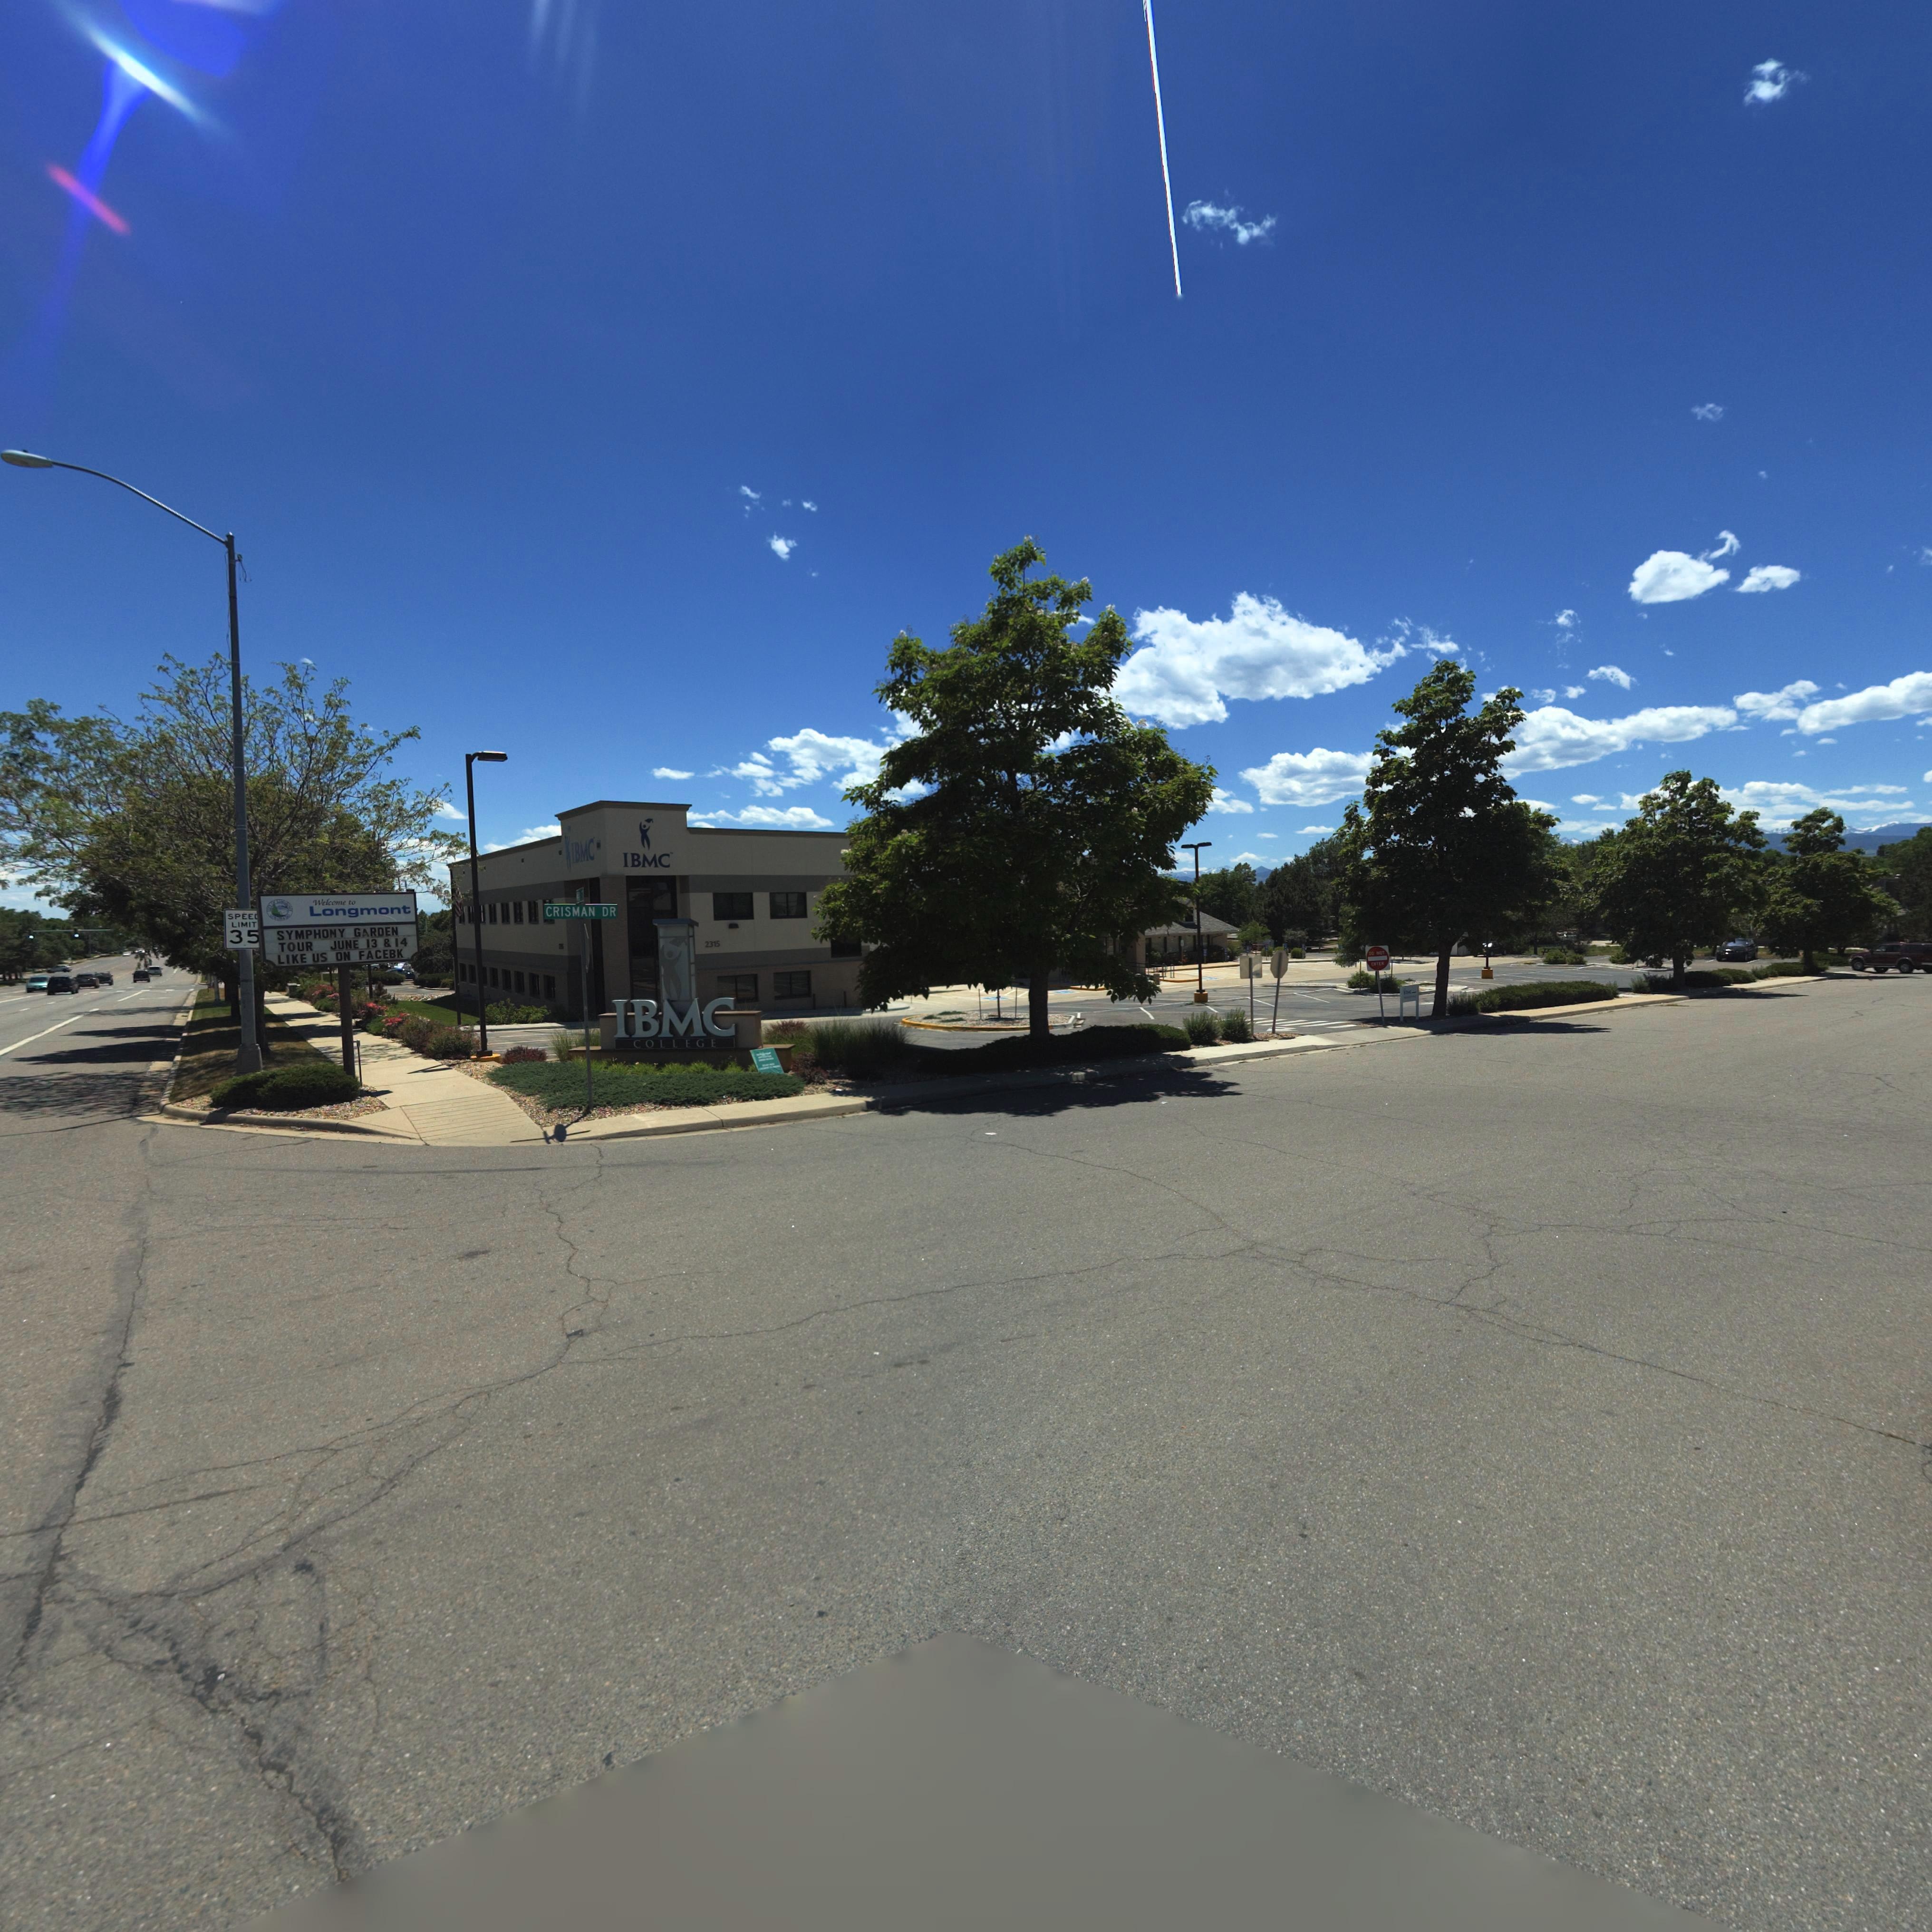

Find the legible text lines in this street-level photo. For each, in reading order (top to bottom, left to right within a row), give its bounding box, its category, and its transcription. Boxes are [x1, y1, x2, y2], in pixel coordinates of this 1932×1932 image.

[570, 837, 595, 864] BusinessName: IBMC
[622, 851, 670, 868] BusinessName: IBMC
[545, 905, 616, 917] StreetName: CRISMAN DR
[705, 940, 720, 947] StreetNumber: 2315
[610, 996, 736, 1038] BusinessName: IBMC
[632, 1038, 717, 1048] BusinessName: COLLEGE